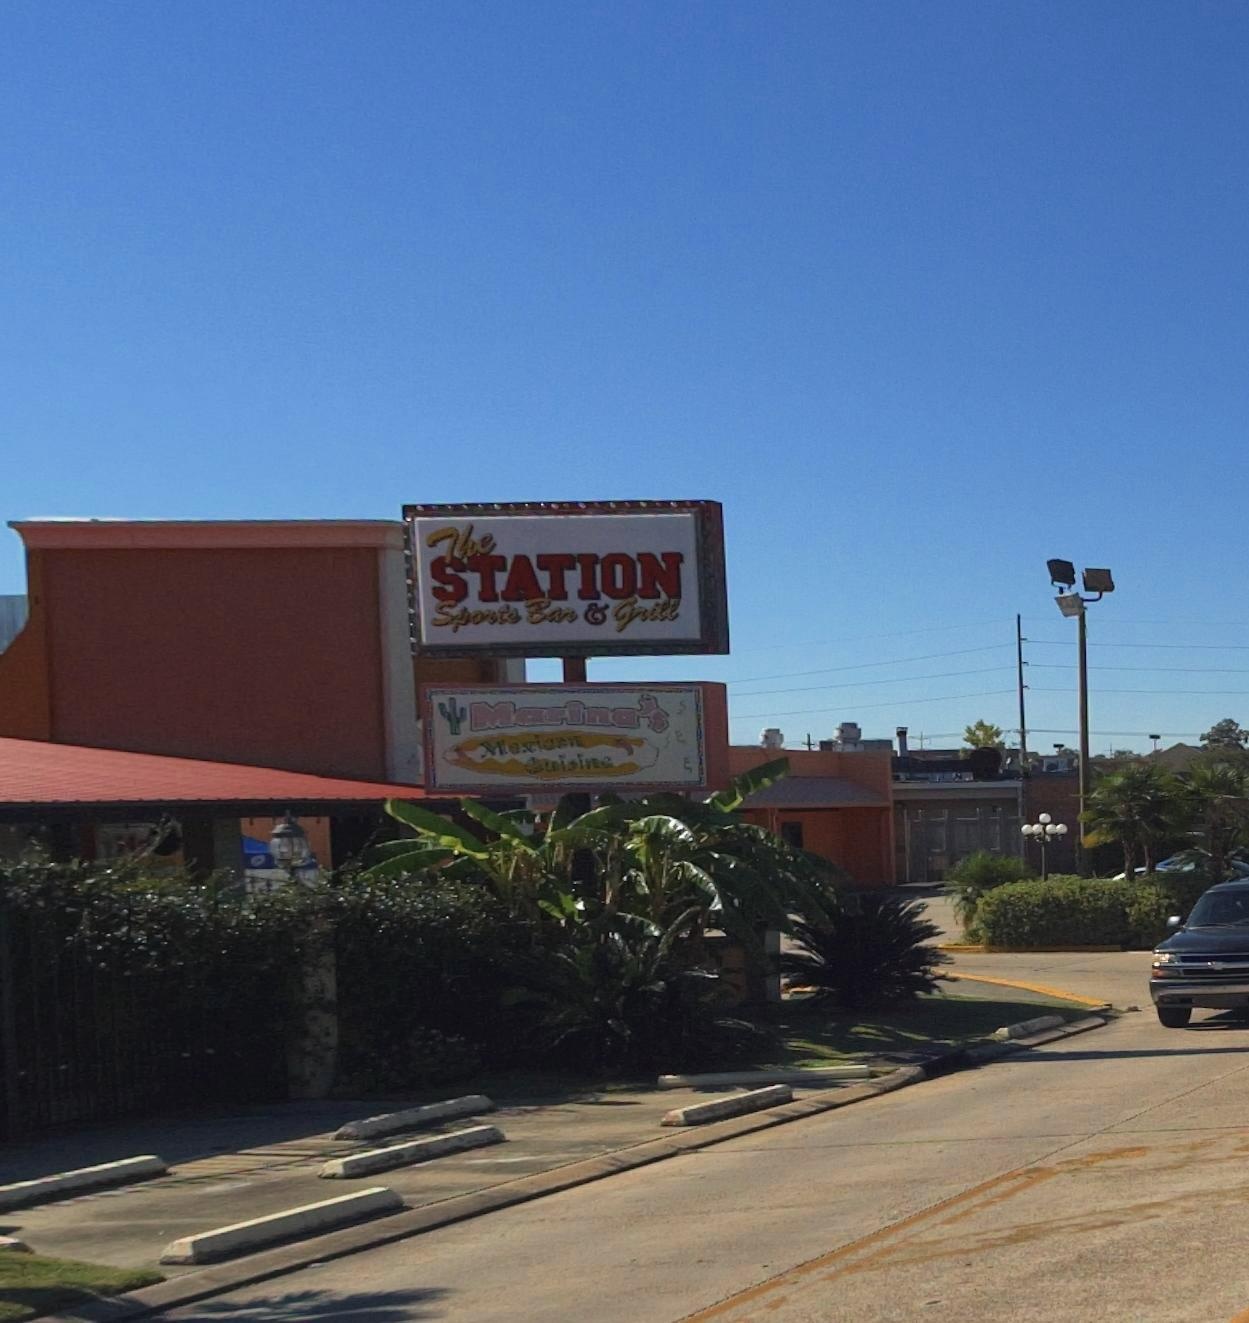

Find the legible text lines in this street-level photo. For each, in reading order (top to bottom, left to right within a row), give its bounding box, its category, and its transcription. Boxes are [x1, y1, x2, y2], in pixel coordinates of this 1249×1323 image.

[425, 522, 499, 566] BusinessName: The
[429, 551, 685, 607] BusinessName: STATION
[430, 595, 681, 633] None: Sports Bar & Grill
[468, 692, 670, 734] BusinessName: Marina's
[478, 734, 585, 759] None: Mexican
[523, 753, 614, 776] None: Cuisine